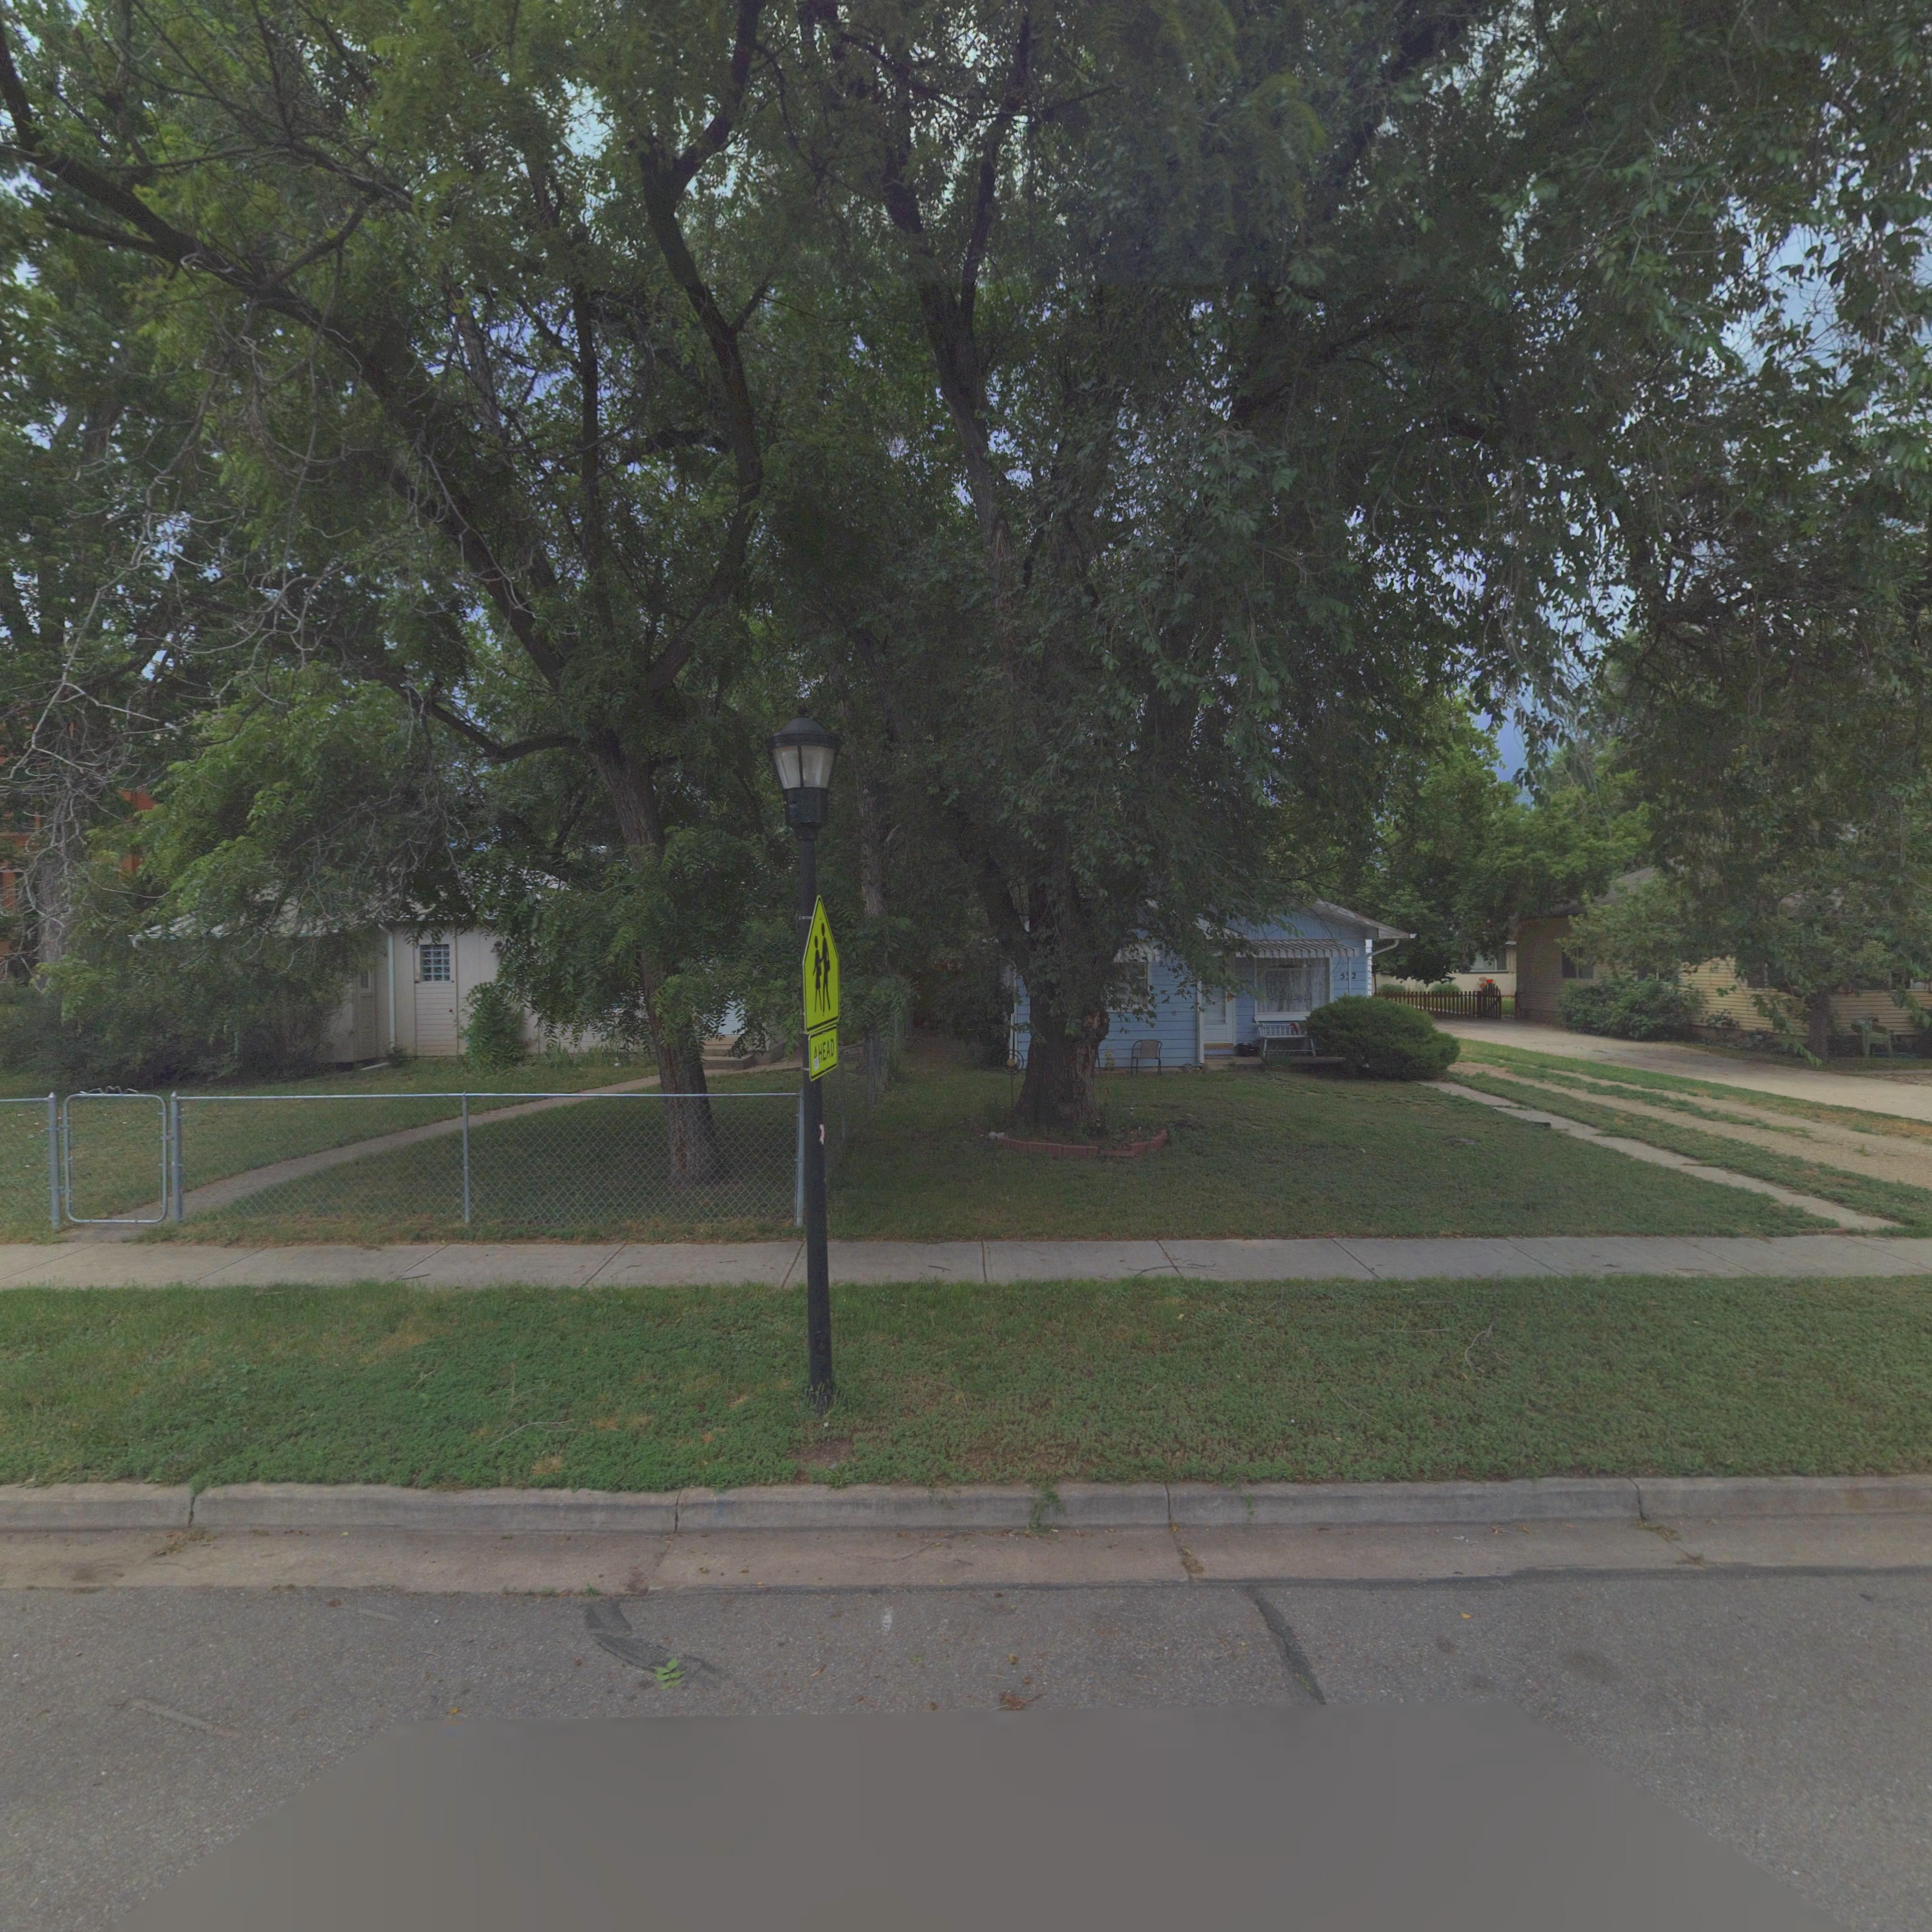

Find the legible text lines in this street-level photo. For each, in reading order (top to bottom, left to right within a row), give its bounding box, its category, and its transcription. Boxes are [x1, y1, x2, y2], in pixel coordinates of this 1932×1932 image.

[1339, 972, 1356, 980] StreetNumber: 5*2